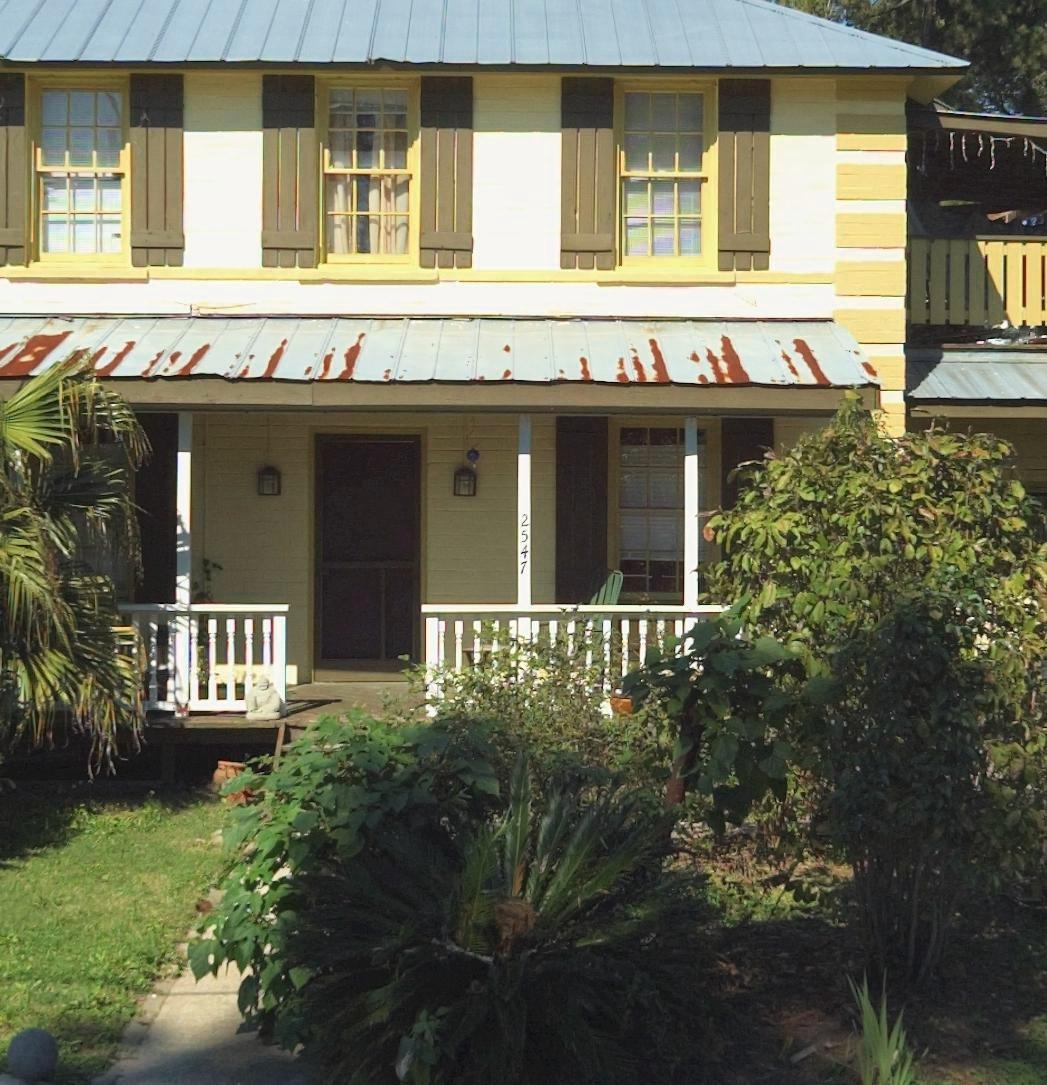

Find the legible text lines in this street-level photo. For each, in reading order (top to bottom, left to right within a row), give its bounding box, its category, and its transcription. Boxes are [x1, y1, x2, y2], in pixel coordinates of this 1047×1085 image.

[518, 512, 531, 577] StreetNumber: 2547